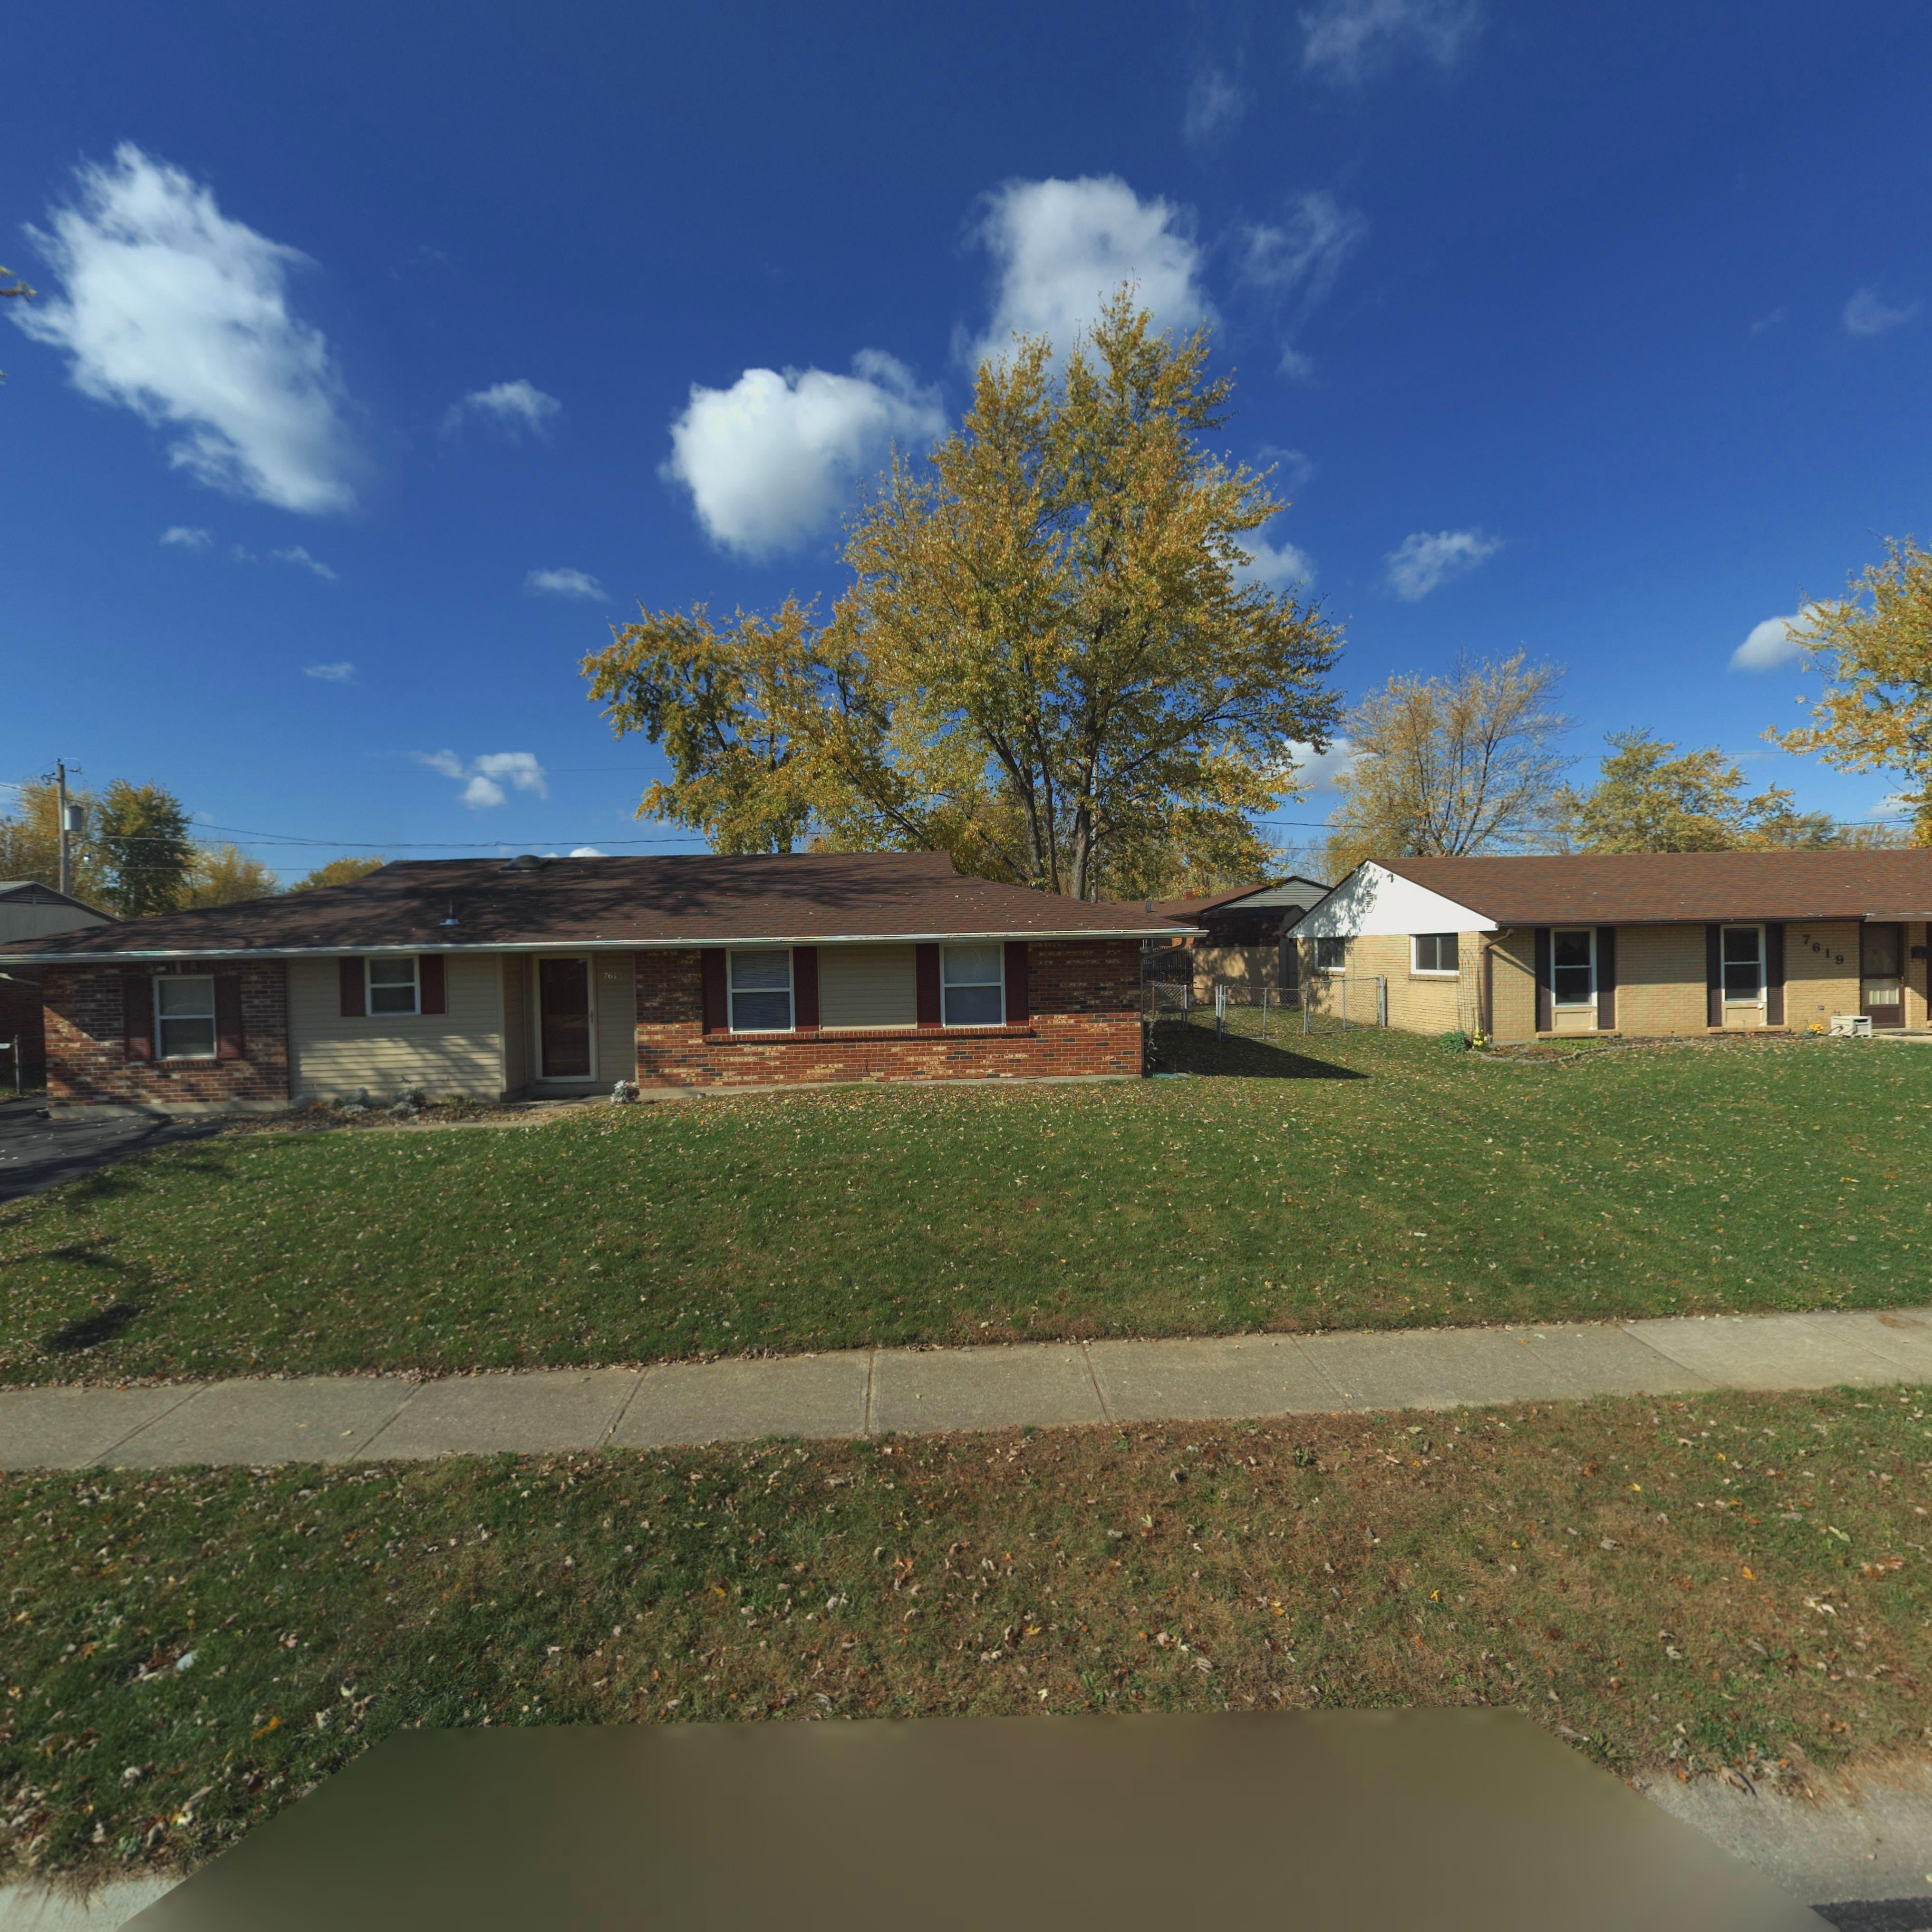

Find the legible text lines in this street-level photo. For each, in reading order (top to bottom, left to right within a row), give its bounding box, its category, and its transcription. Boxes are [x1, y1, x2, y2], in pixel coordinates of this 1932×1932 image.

[1801, 933, 1846, 966] StreetNumber: 7619
[600, 969, 625, 981] StreetNumber: 761*